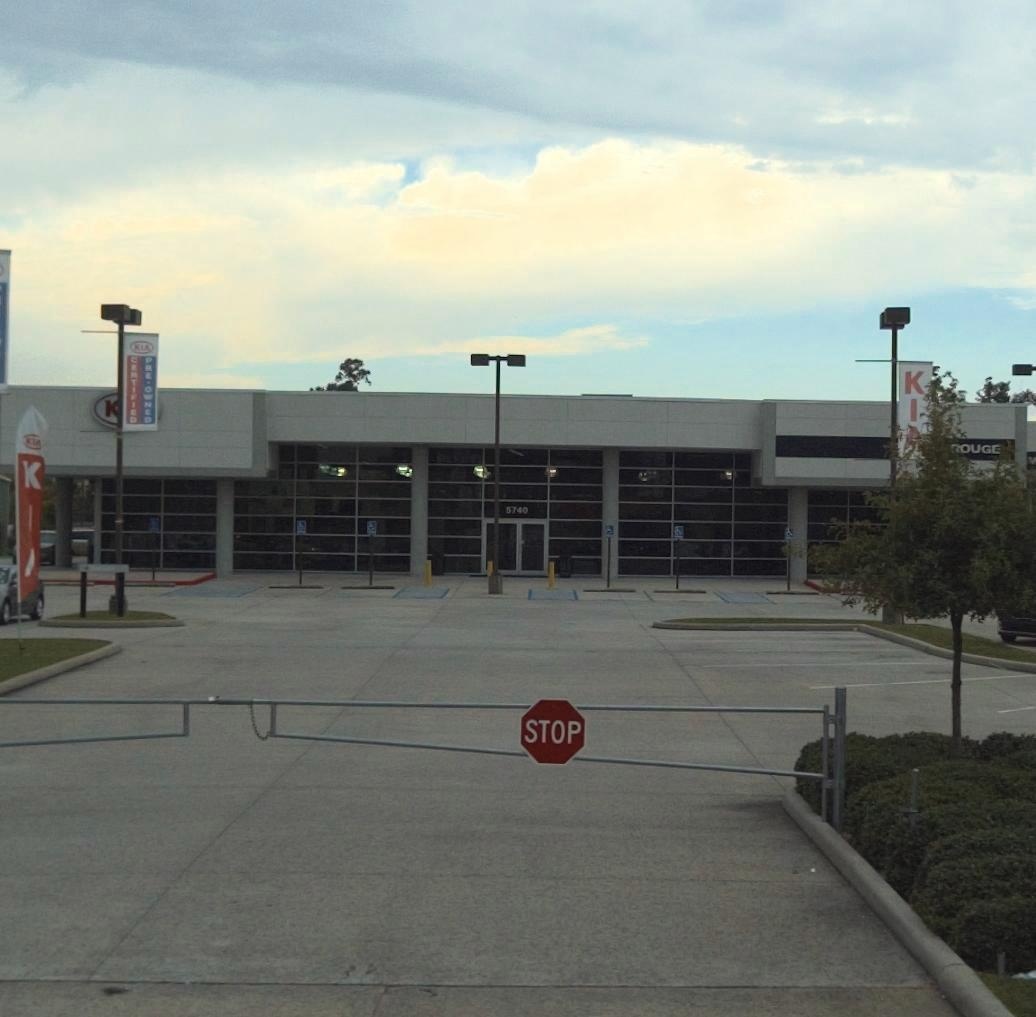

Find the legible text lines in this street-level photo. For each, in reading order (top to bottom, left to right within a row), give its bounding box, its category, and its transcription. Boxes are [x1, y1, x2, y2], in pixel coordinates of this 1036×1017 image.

[134, 342, 152, 352] None: KIA
[904, 370, 927, 424] None: KI
[959, 443, 992, 455] None: OUG
[505, 505, 529, 515] StreetNumber: 5740
[522, 718, 583, 745] None: STOP